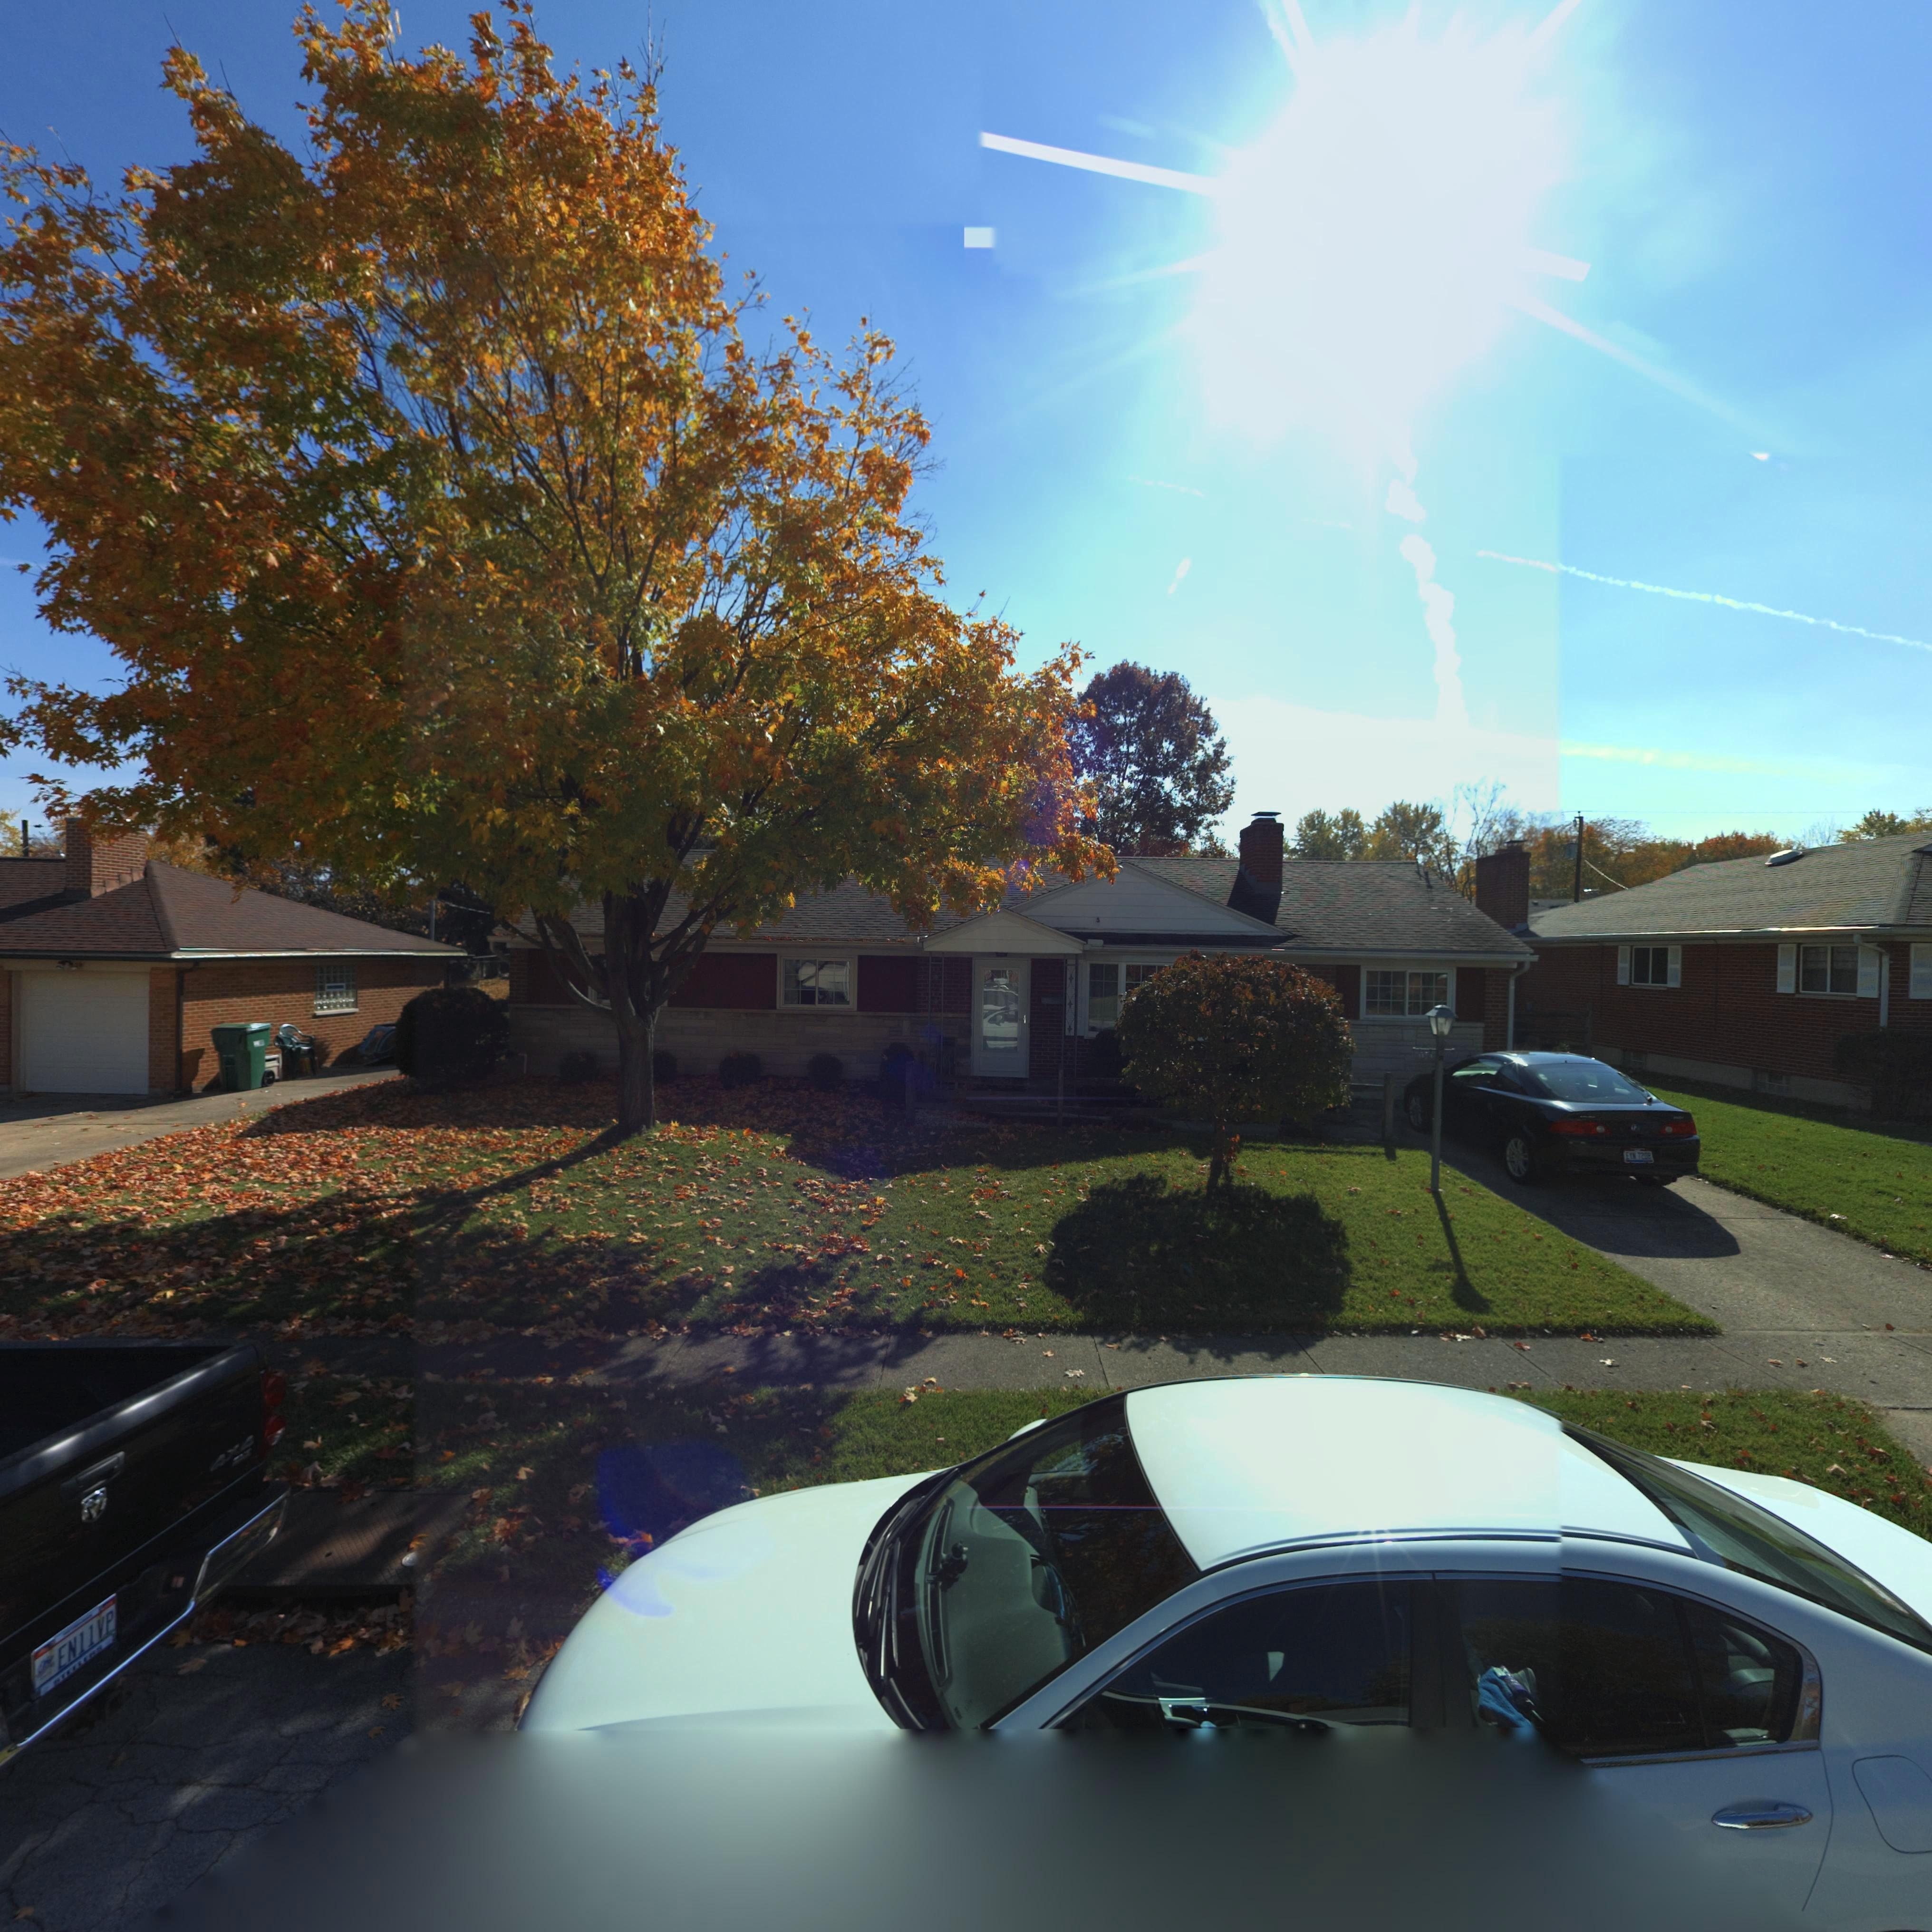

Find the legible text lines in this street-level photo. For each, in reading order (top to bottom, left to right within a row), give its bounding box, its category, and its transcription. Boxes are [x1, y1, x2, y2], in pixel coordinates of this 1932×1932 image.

[1418, 1053, 1433, 1060] StreetNumber: 1124
[1579, 1115, 1596, 1119] None: ACURA
[1625, 1151, 1652, 1160] None: ETN 7208
[208, 1432, 255, 1474] None: 4x4
[57, 1607, 114, 1671] None: EN11VP
[52, 1642, 104, 1687] None: STEELERS